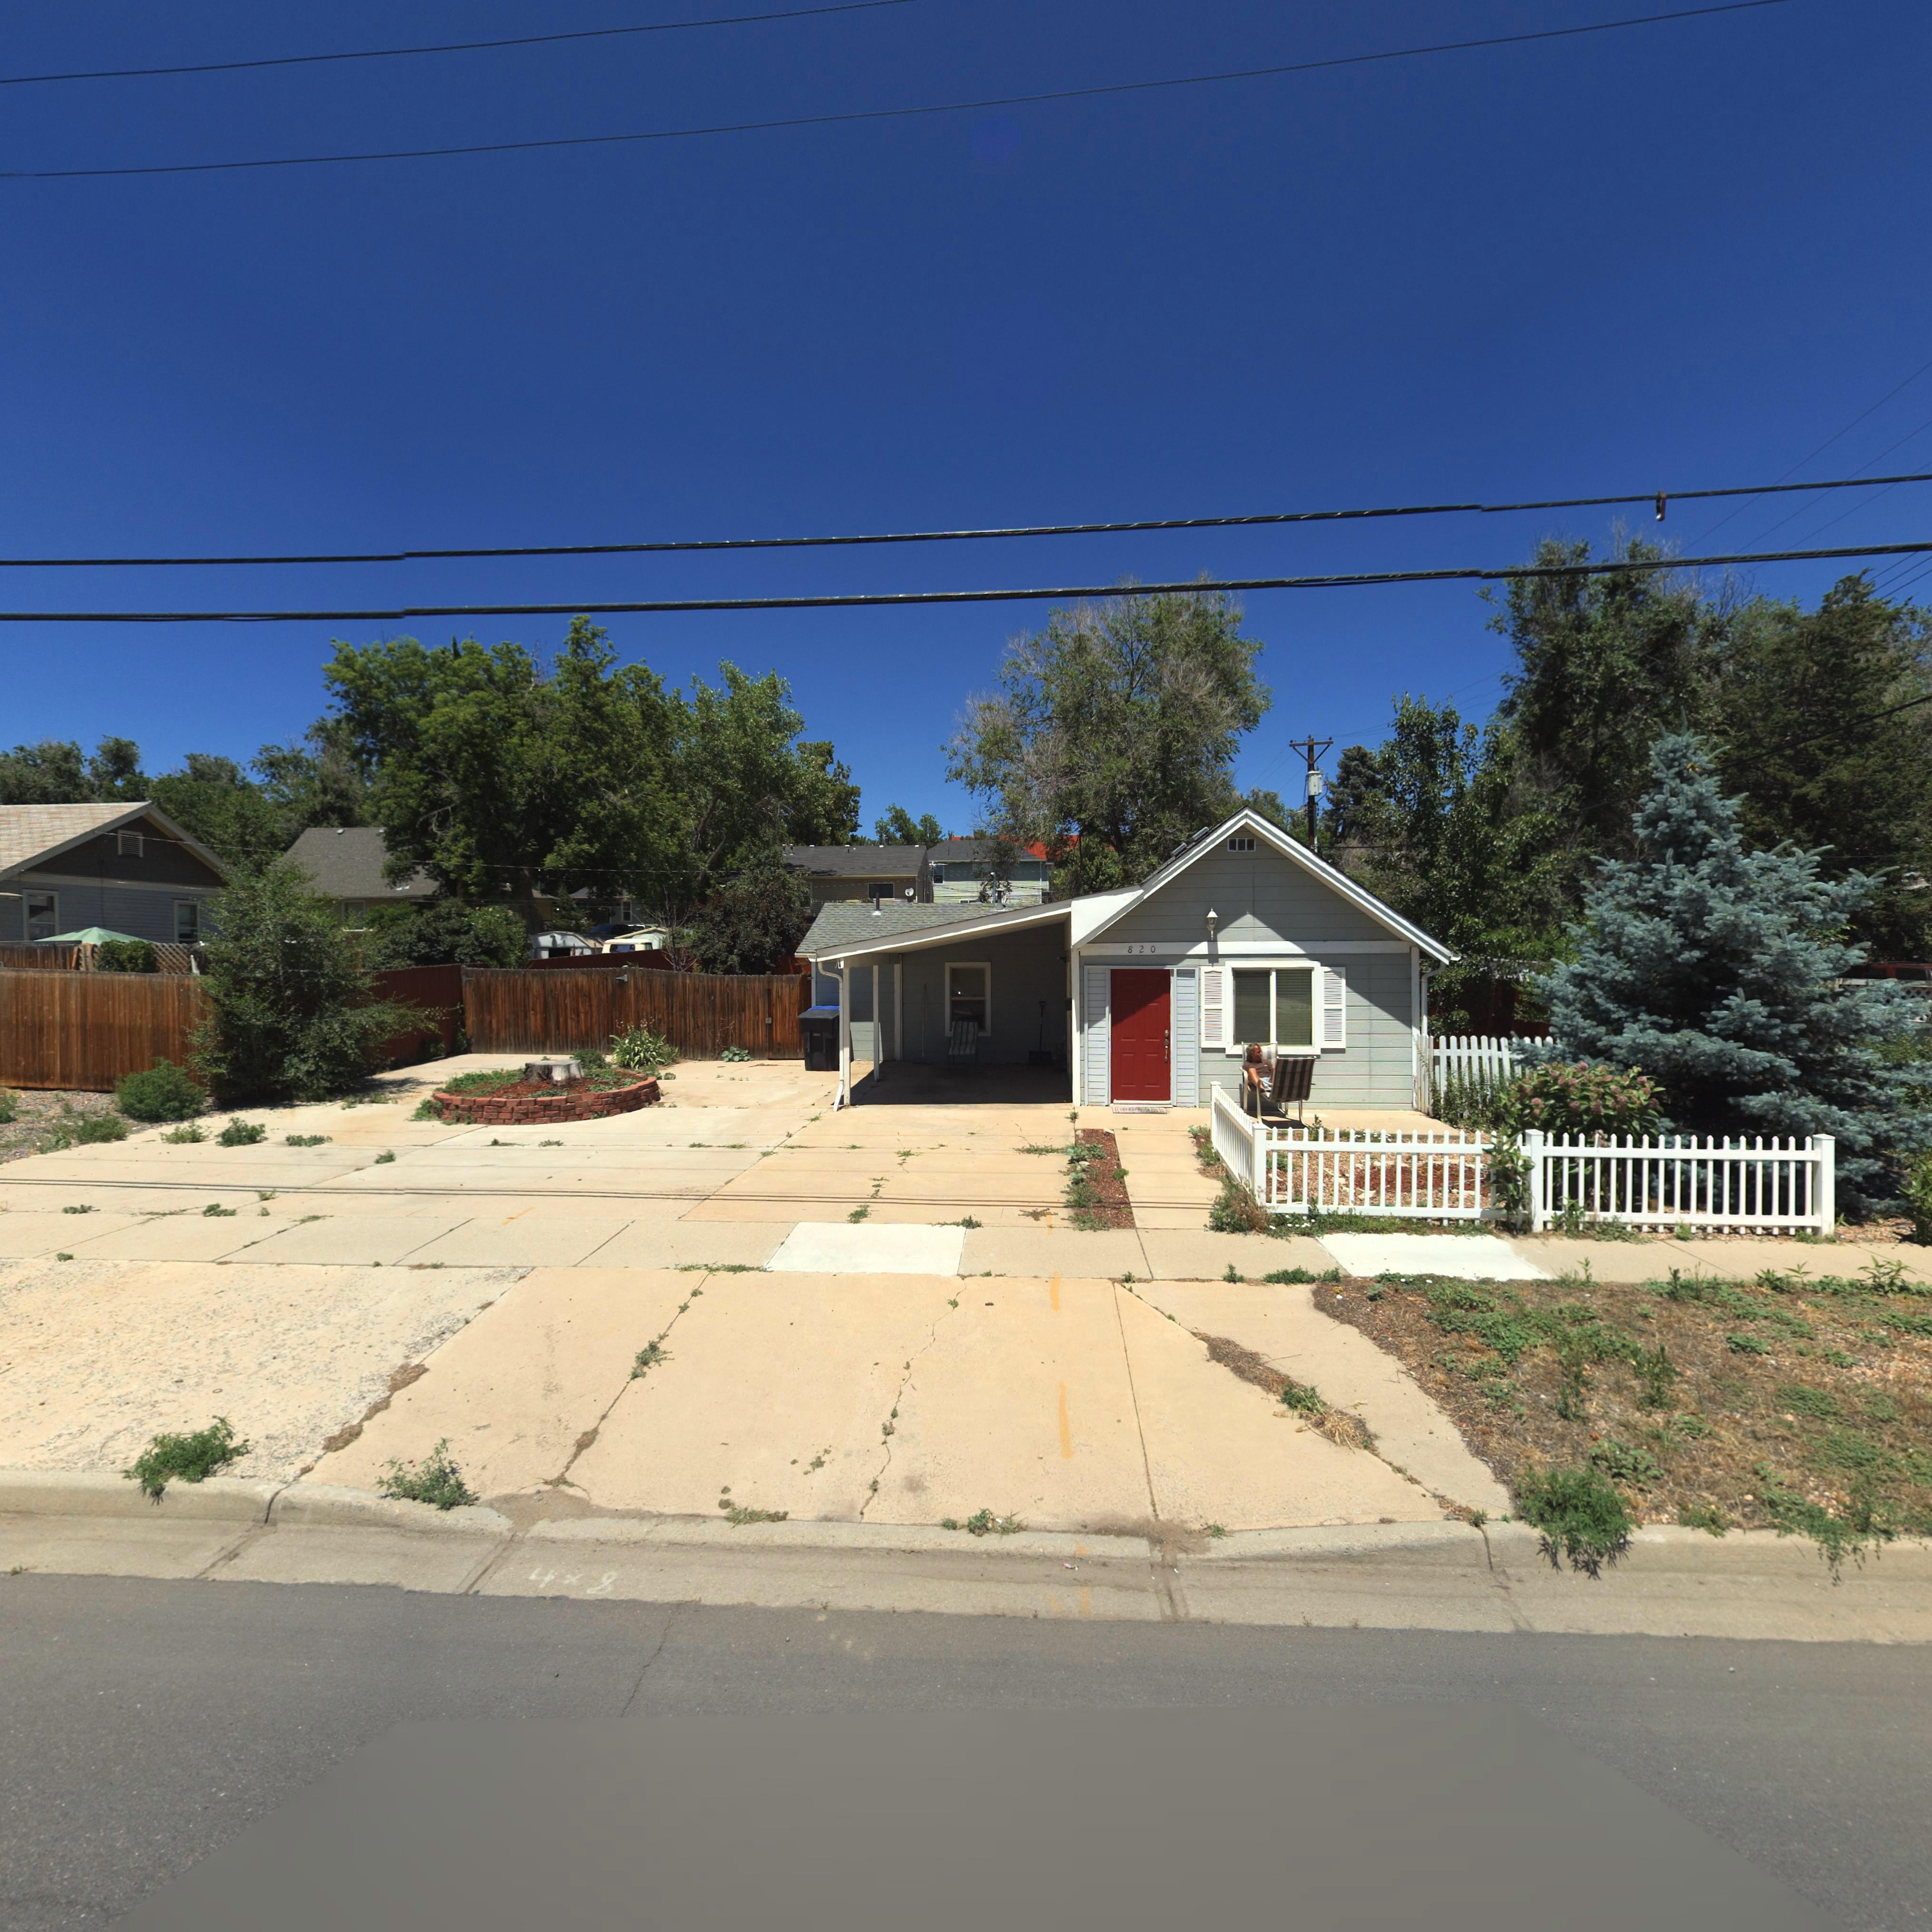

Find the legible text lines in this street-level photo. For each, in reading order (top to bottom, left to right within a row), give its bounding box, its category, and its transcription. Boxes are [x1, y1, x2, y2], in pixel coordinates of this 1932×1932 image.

[1127, 945, 1156, 953] StreetNumber: 820